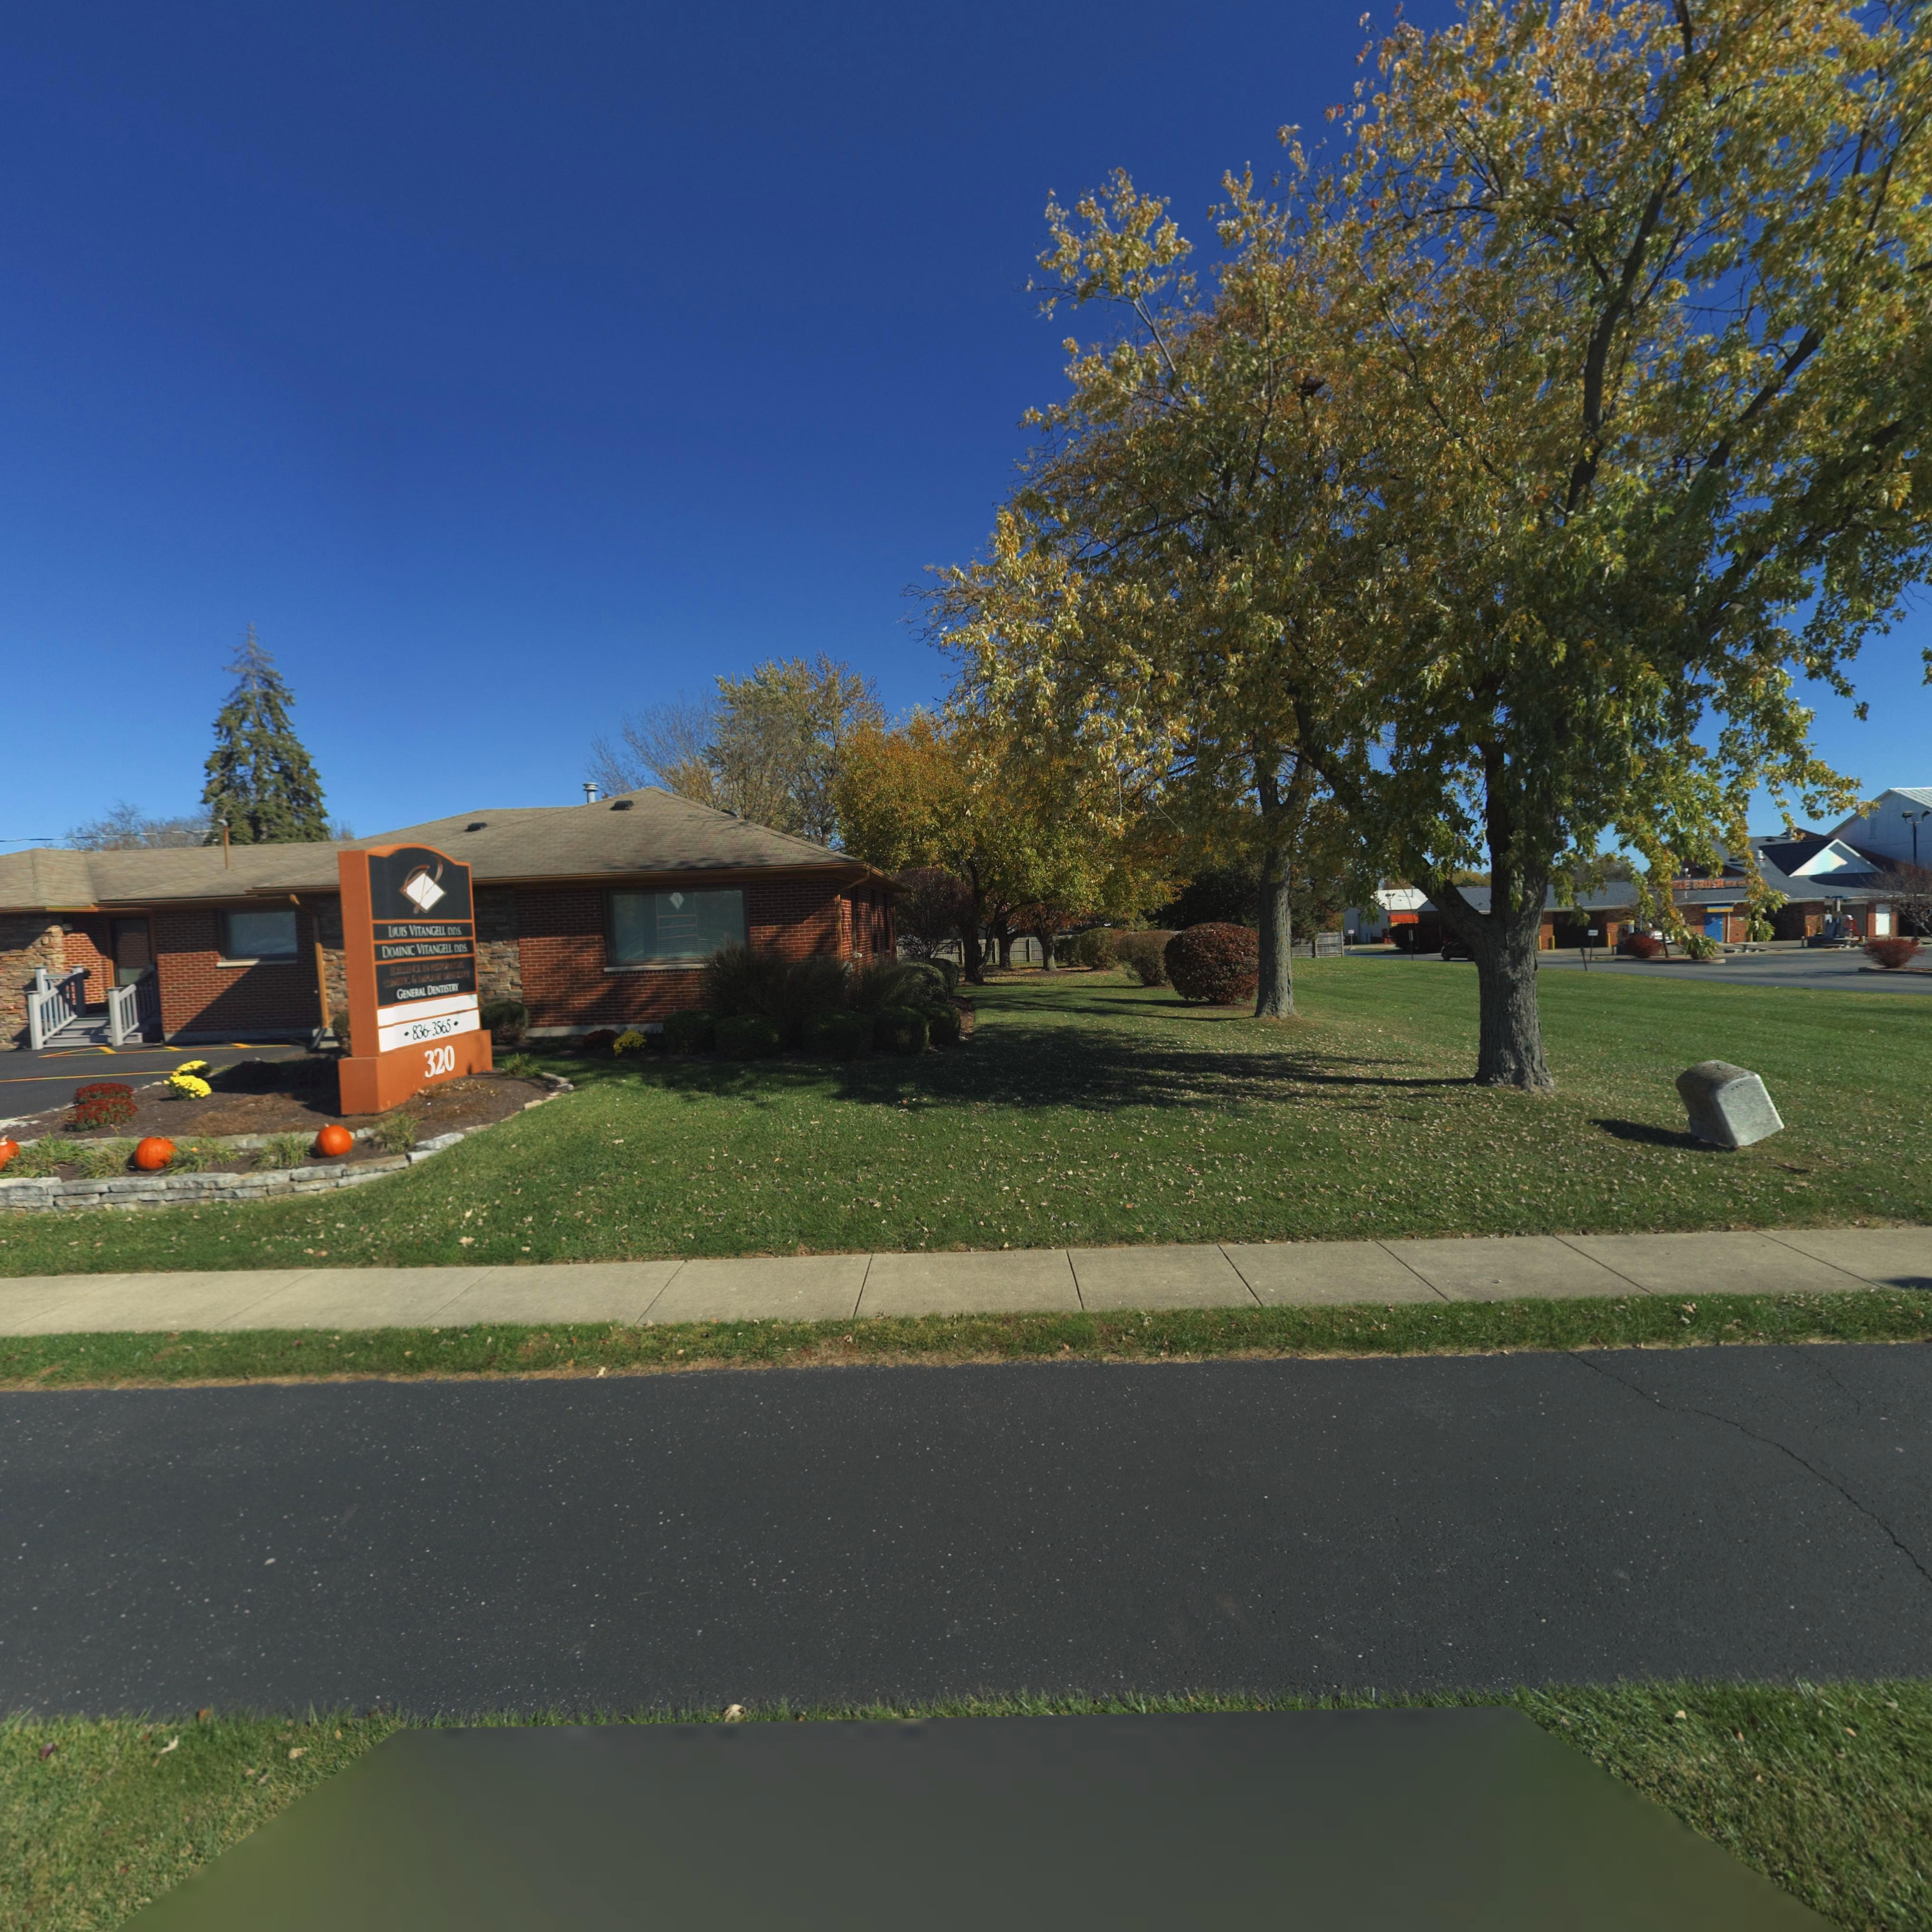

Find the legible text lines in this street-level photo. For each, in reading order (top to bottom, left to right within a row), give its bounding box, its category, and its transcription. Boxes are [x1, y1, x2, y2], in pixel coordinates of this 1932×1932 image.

[1672, 878, 1725, 891] BusinessName: BLE BRUSH
[386, 925, 464, 939] None: L*UIS VITANGELL DDS
[380, 942, 469, 959] None: DOMINIC VITANGELL DDS
[395, 982, 461, 1001] None: GENERAL DENTISTRY
[411, 1017, 452, 1042] None: 836-3565
[423, 1043, 457, 1080] StreetNumber: 320